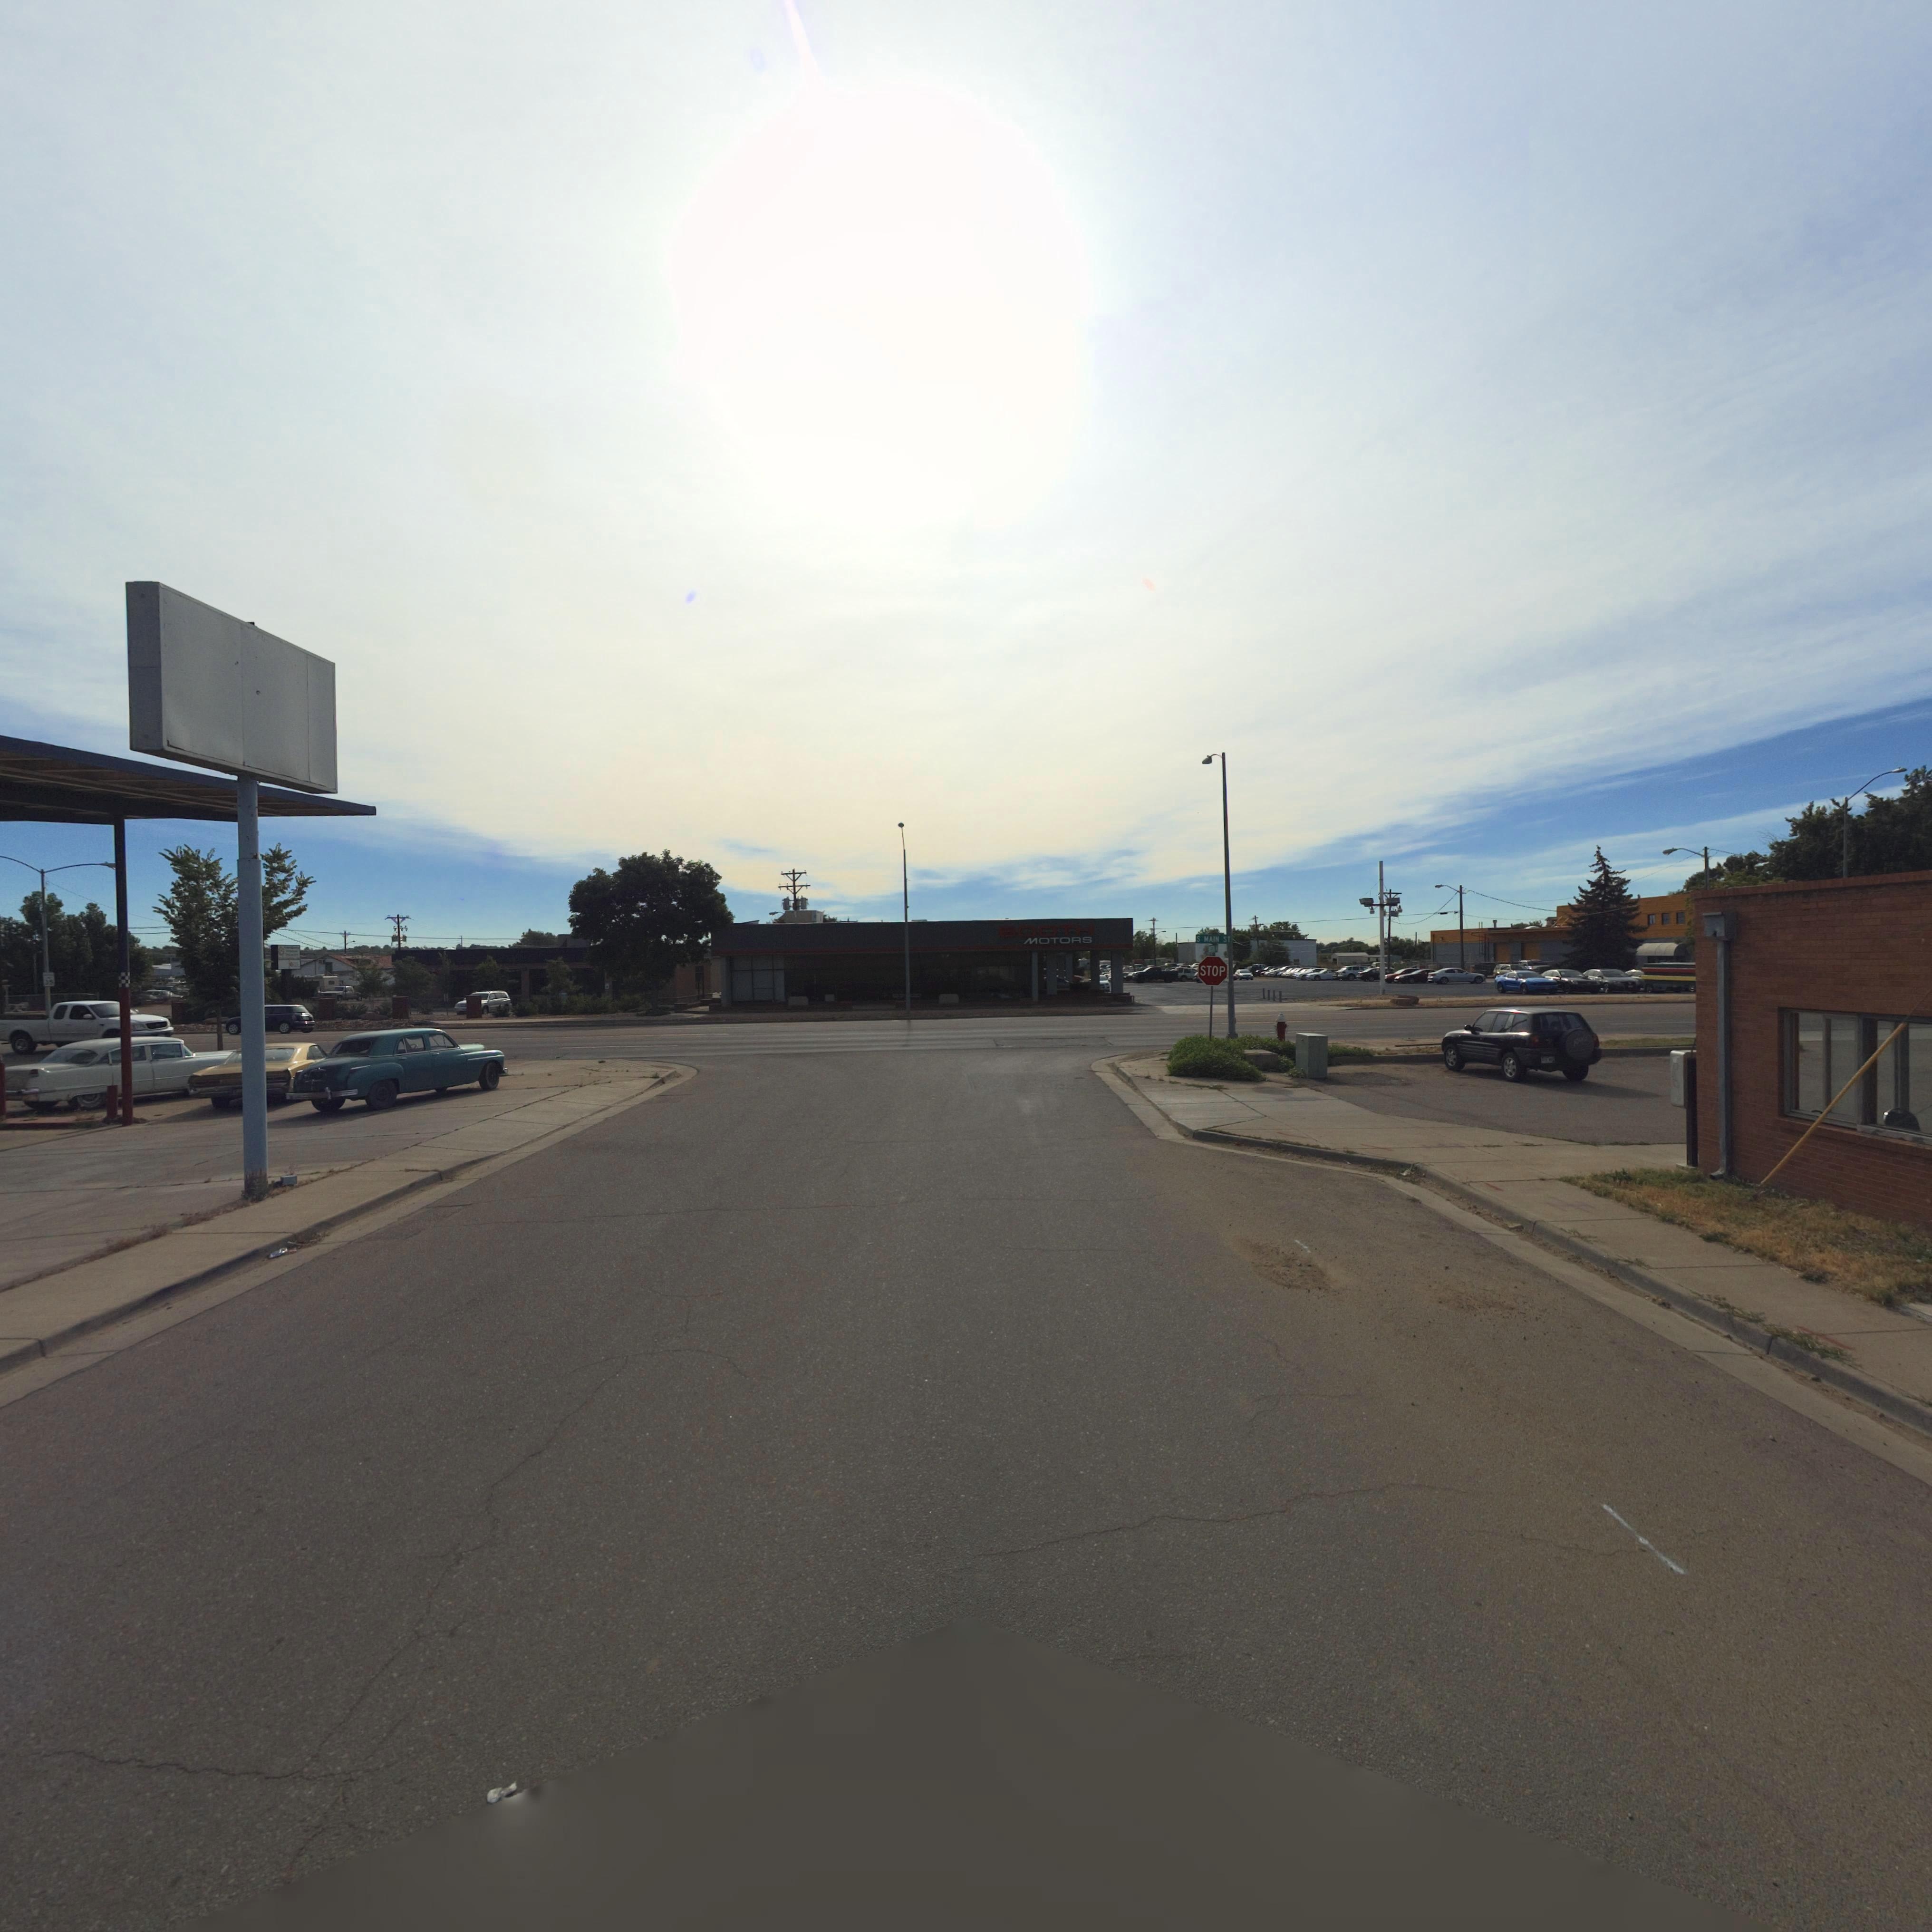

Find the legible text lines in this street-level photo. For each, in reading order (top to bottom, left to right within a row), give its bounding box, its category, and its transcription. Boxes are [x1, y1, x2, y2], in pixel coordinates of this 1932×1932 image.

[998, 925, 1093, 937] BusinessName: BOOTH
[1022, 937, 1092, 944] BusinessName: MOTORS
[1197, 936, 1230, 942] StreetName: S MAIN ST